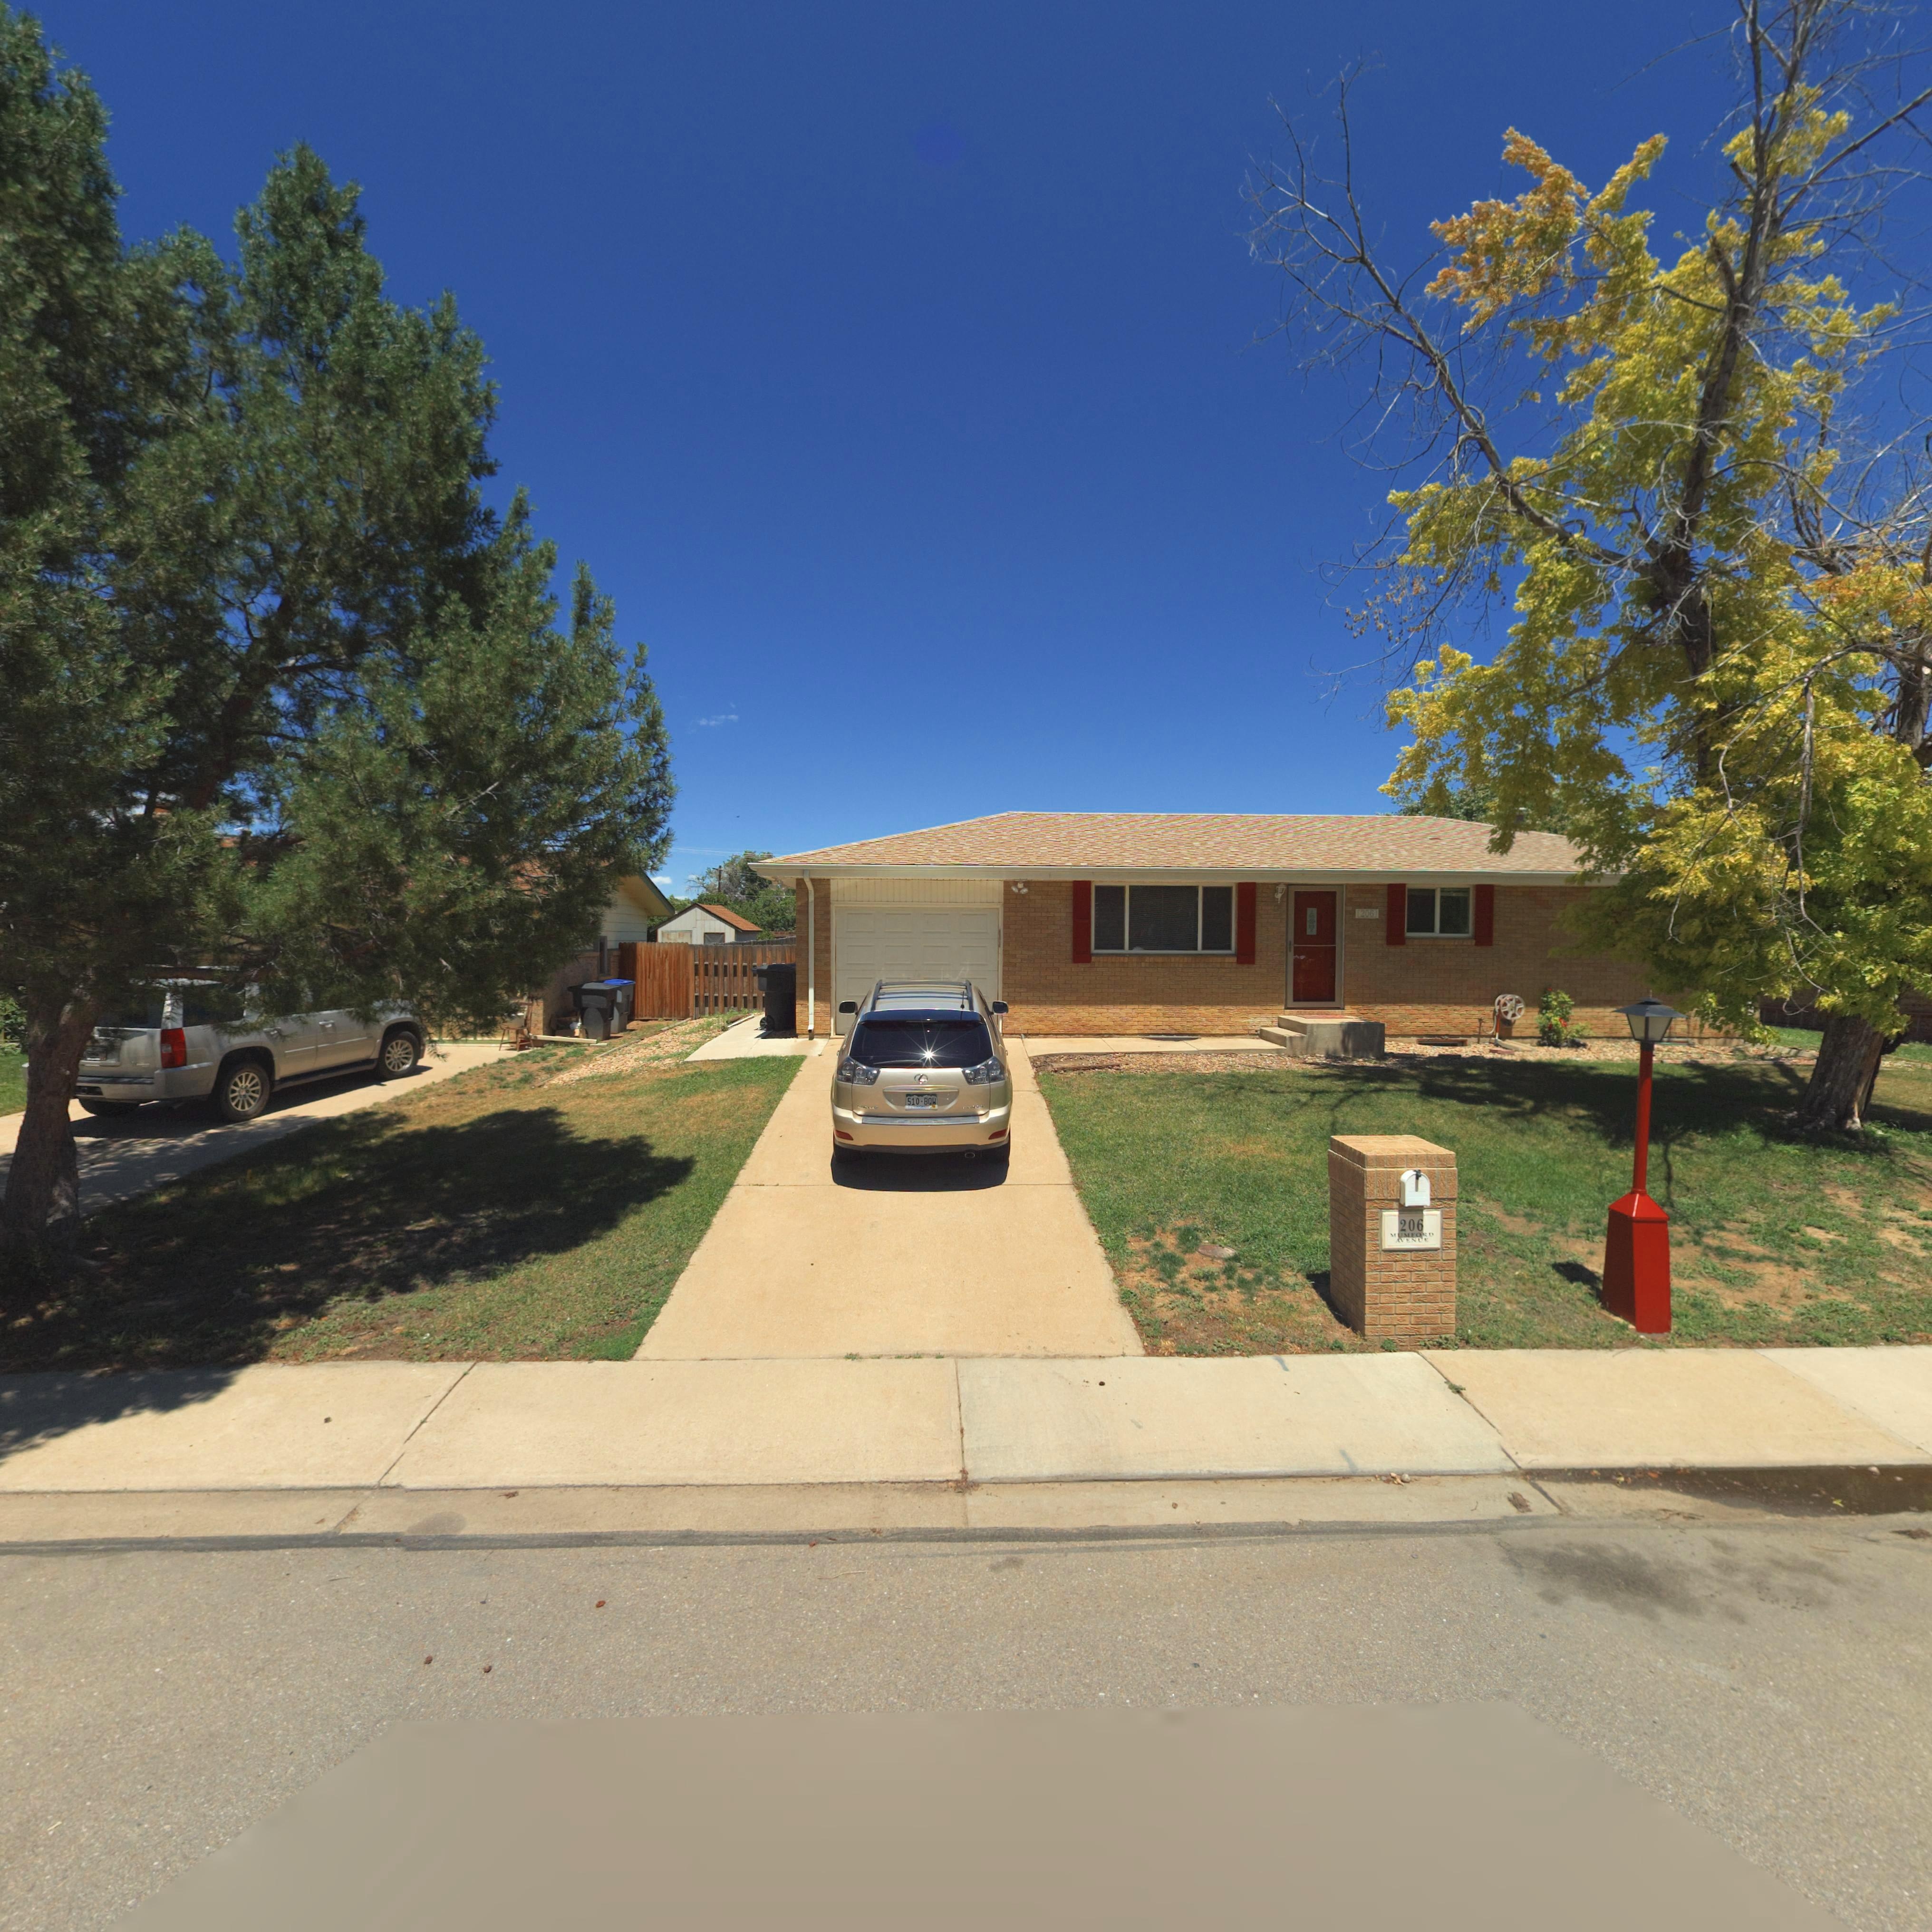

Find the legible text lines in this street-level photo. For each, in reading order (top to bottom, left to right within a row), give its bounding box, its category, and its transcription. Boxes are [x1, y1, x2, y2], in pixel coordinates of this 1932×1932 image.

[1360, 909, 1374, 917] StreetNumber: 206
[1400, 1217, 1424, 1231] StreetNumber: 206
[1389, 1232, 1435, 1237] StreetName: MUMFORD
[1395, 1237, 1430, 1244] StreetName: AVENUE